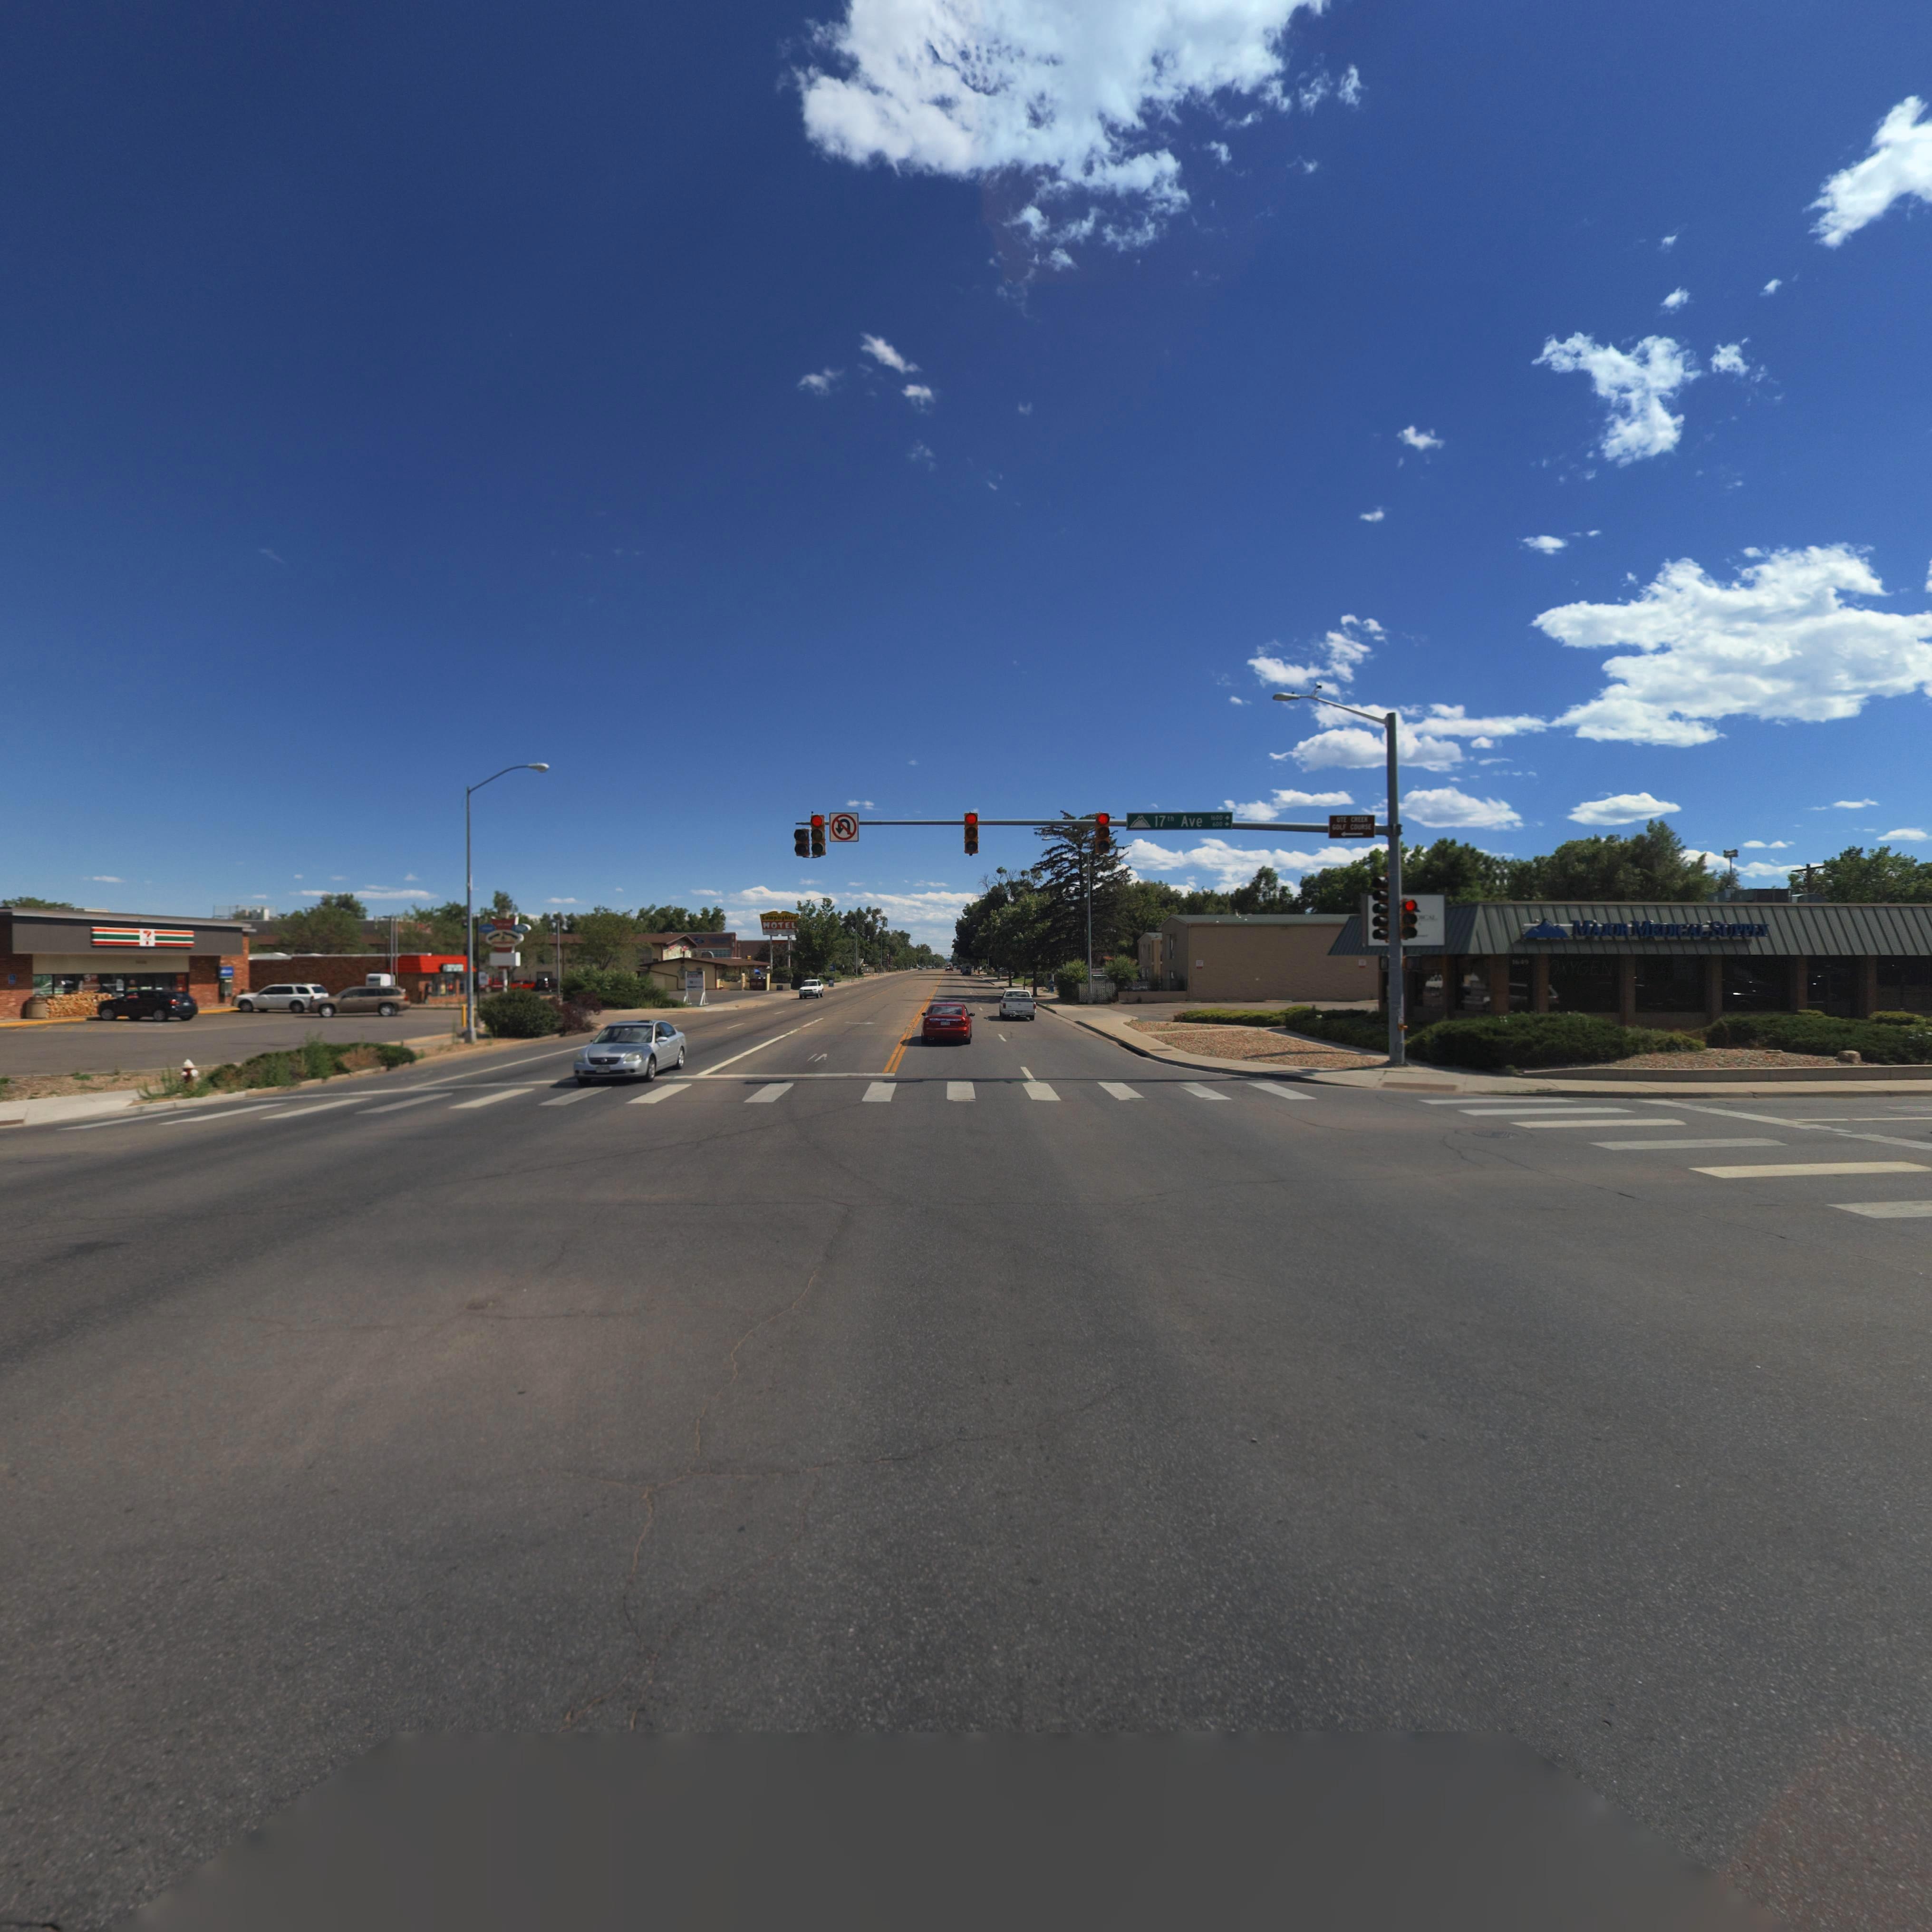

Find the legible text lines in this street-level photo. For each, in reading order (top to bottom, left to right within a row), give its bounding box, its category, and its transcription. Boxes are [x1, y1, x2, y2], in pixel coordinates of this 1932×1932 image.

[1153, 814, 1203, 828] StreetName: 17th Ave
[1210, 814, 1223, 821] StreetNumberRange: 1600
[1211, 821, 1230, 827] StreetNumberRange: 600 ->
[761, 914, 798, 921] BusinessName: *amplighter
[1420, 914, 1439, 921] BusinessName: *CAL
[762, 921, 797, 928] BusinessName: MOTEL
[1570, 919, 1771, 937] BusinessName: MAJOR MEDICAL SUPPLY
[143, 930, 152, 945] BusinessName: 7
[488, 930, 519, 941] BusinessName: ***** T******
[1511, 957, 1529, 965] StreetNumber: 1649